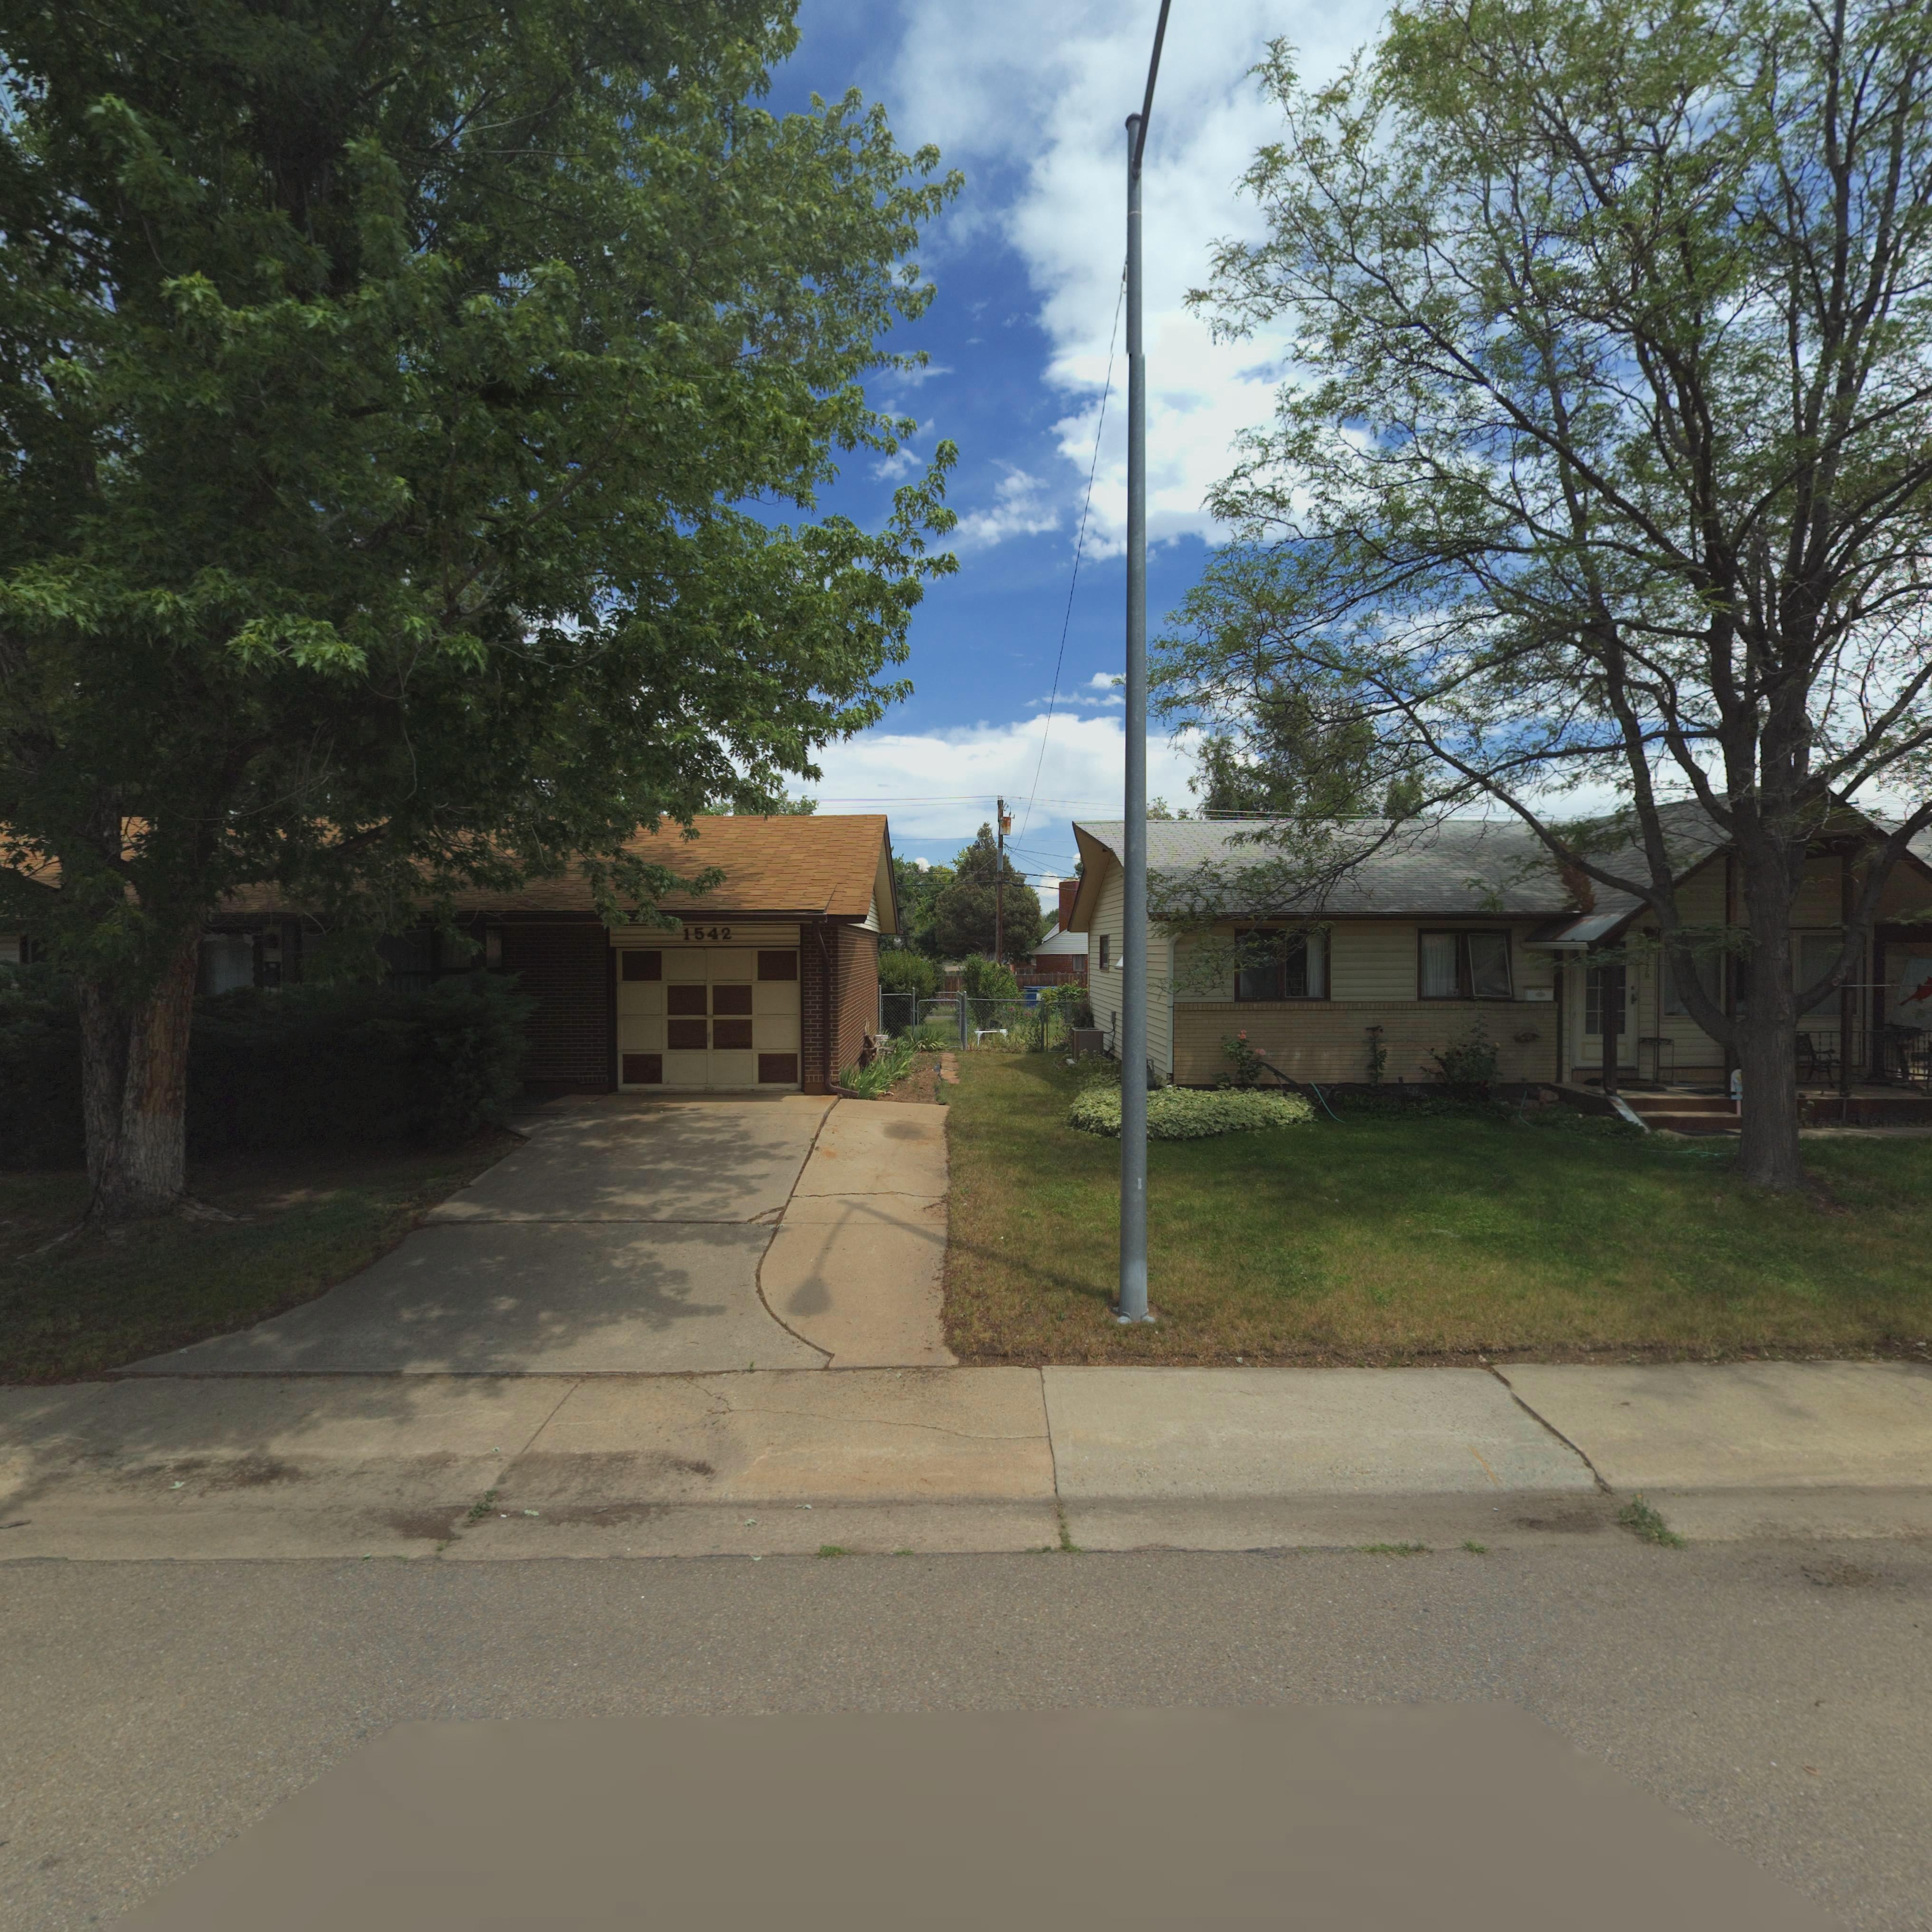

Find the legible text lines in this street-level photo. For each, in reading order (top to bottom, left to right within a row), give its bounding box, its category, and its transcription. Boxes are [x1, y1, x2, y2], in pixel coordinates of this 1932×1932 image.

[683, 927, 733, 940] StreetNumber: 1542
[1644, 945, 1650, 979] StreetNumber: *556